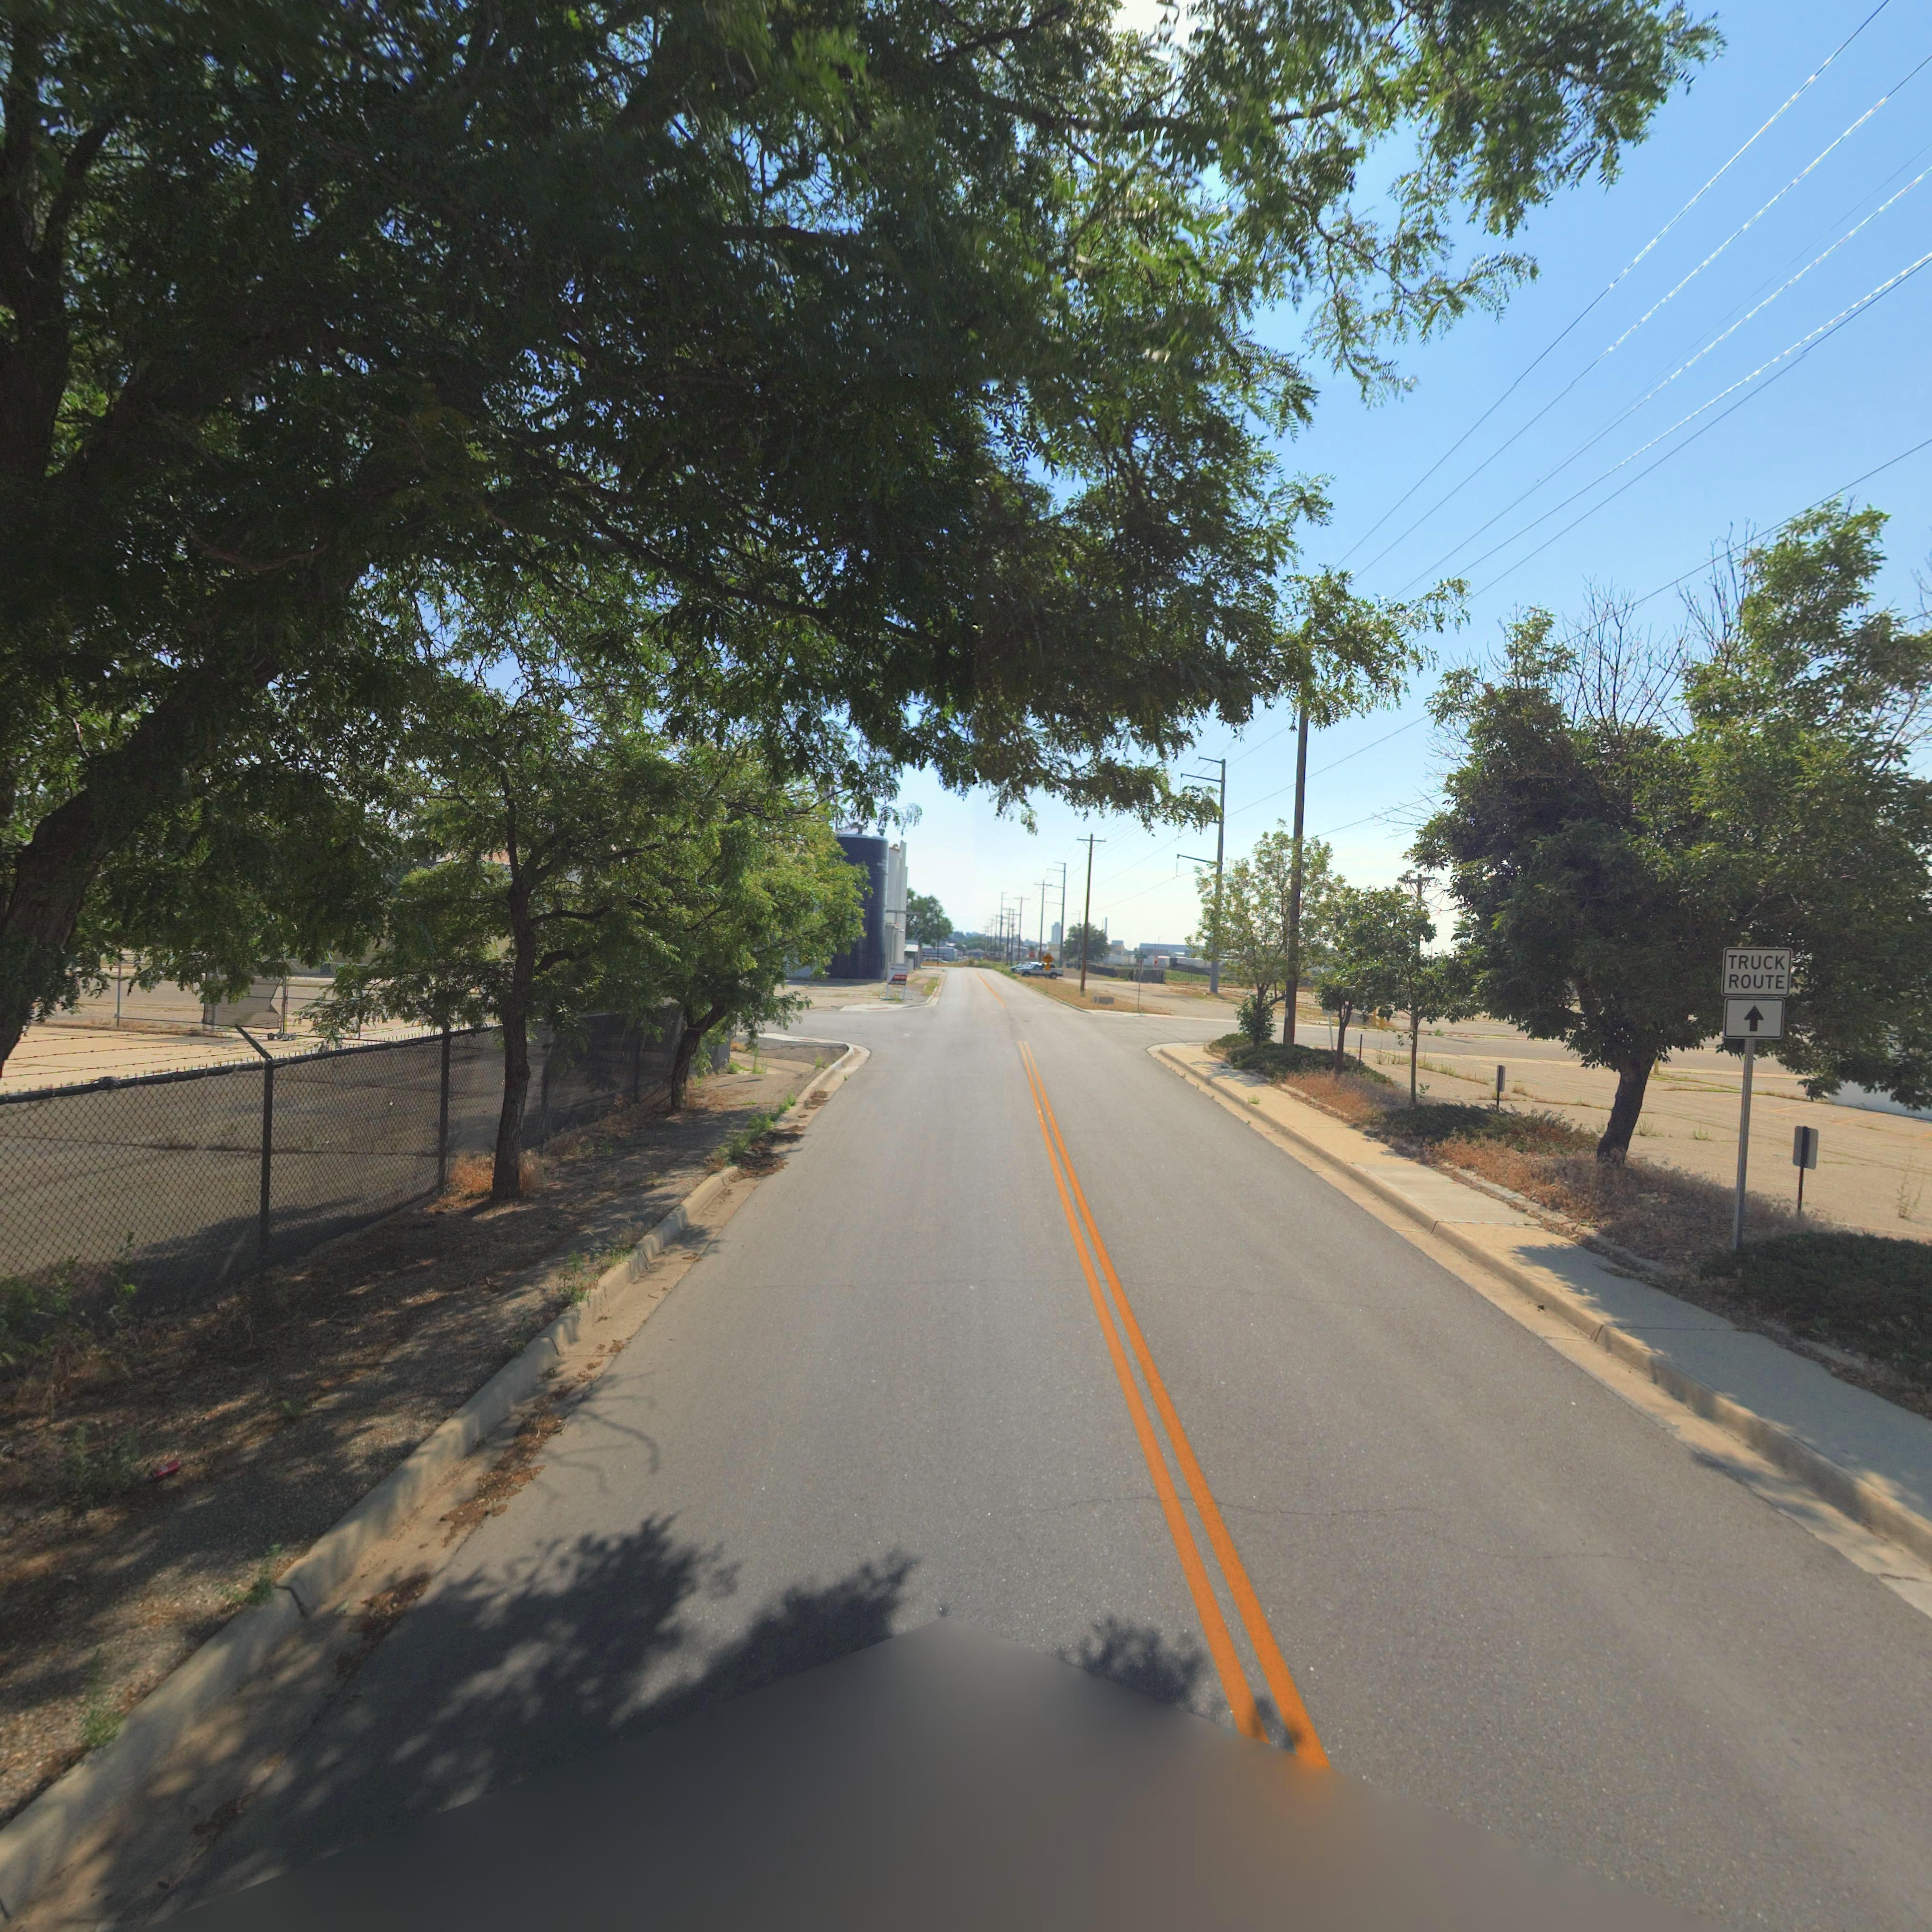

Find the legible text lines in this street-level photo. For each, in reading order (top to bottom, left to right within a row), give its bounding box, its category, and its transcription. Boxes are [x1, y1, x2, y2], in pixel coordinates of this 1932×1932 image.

[1134, 954, 1148, 958] StreetName: ****y **